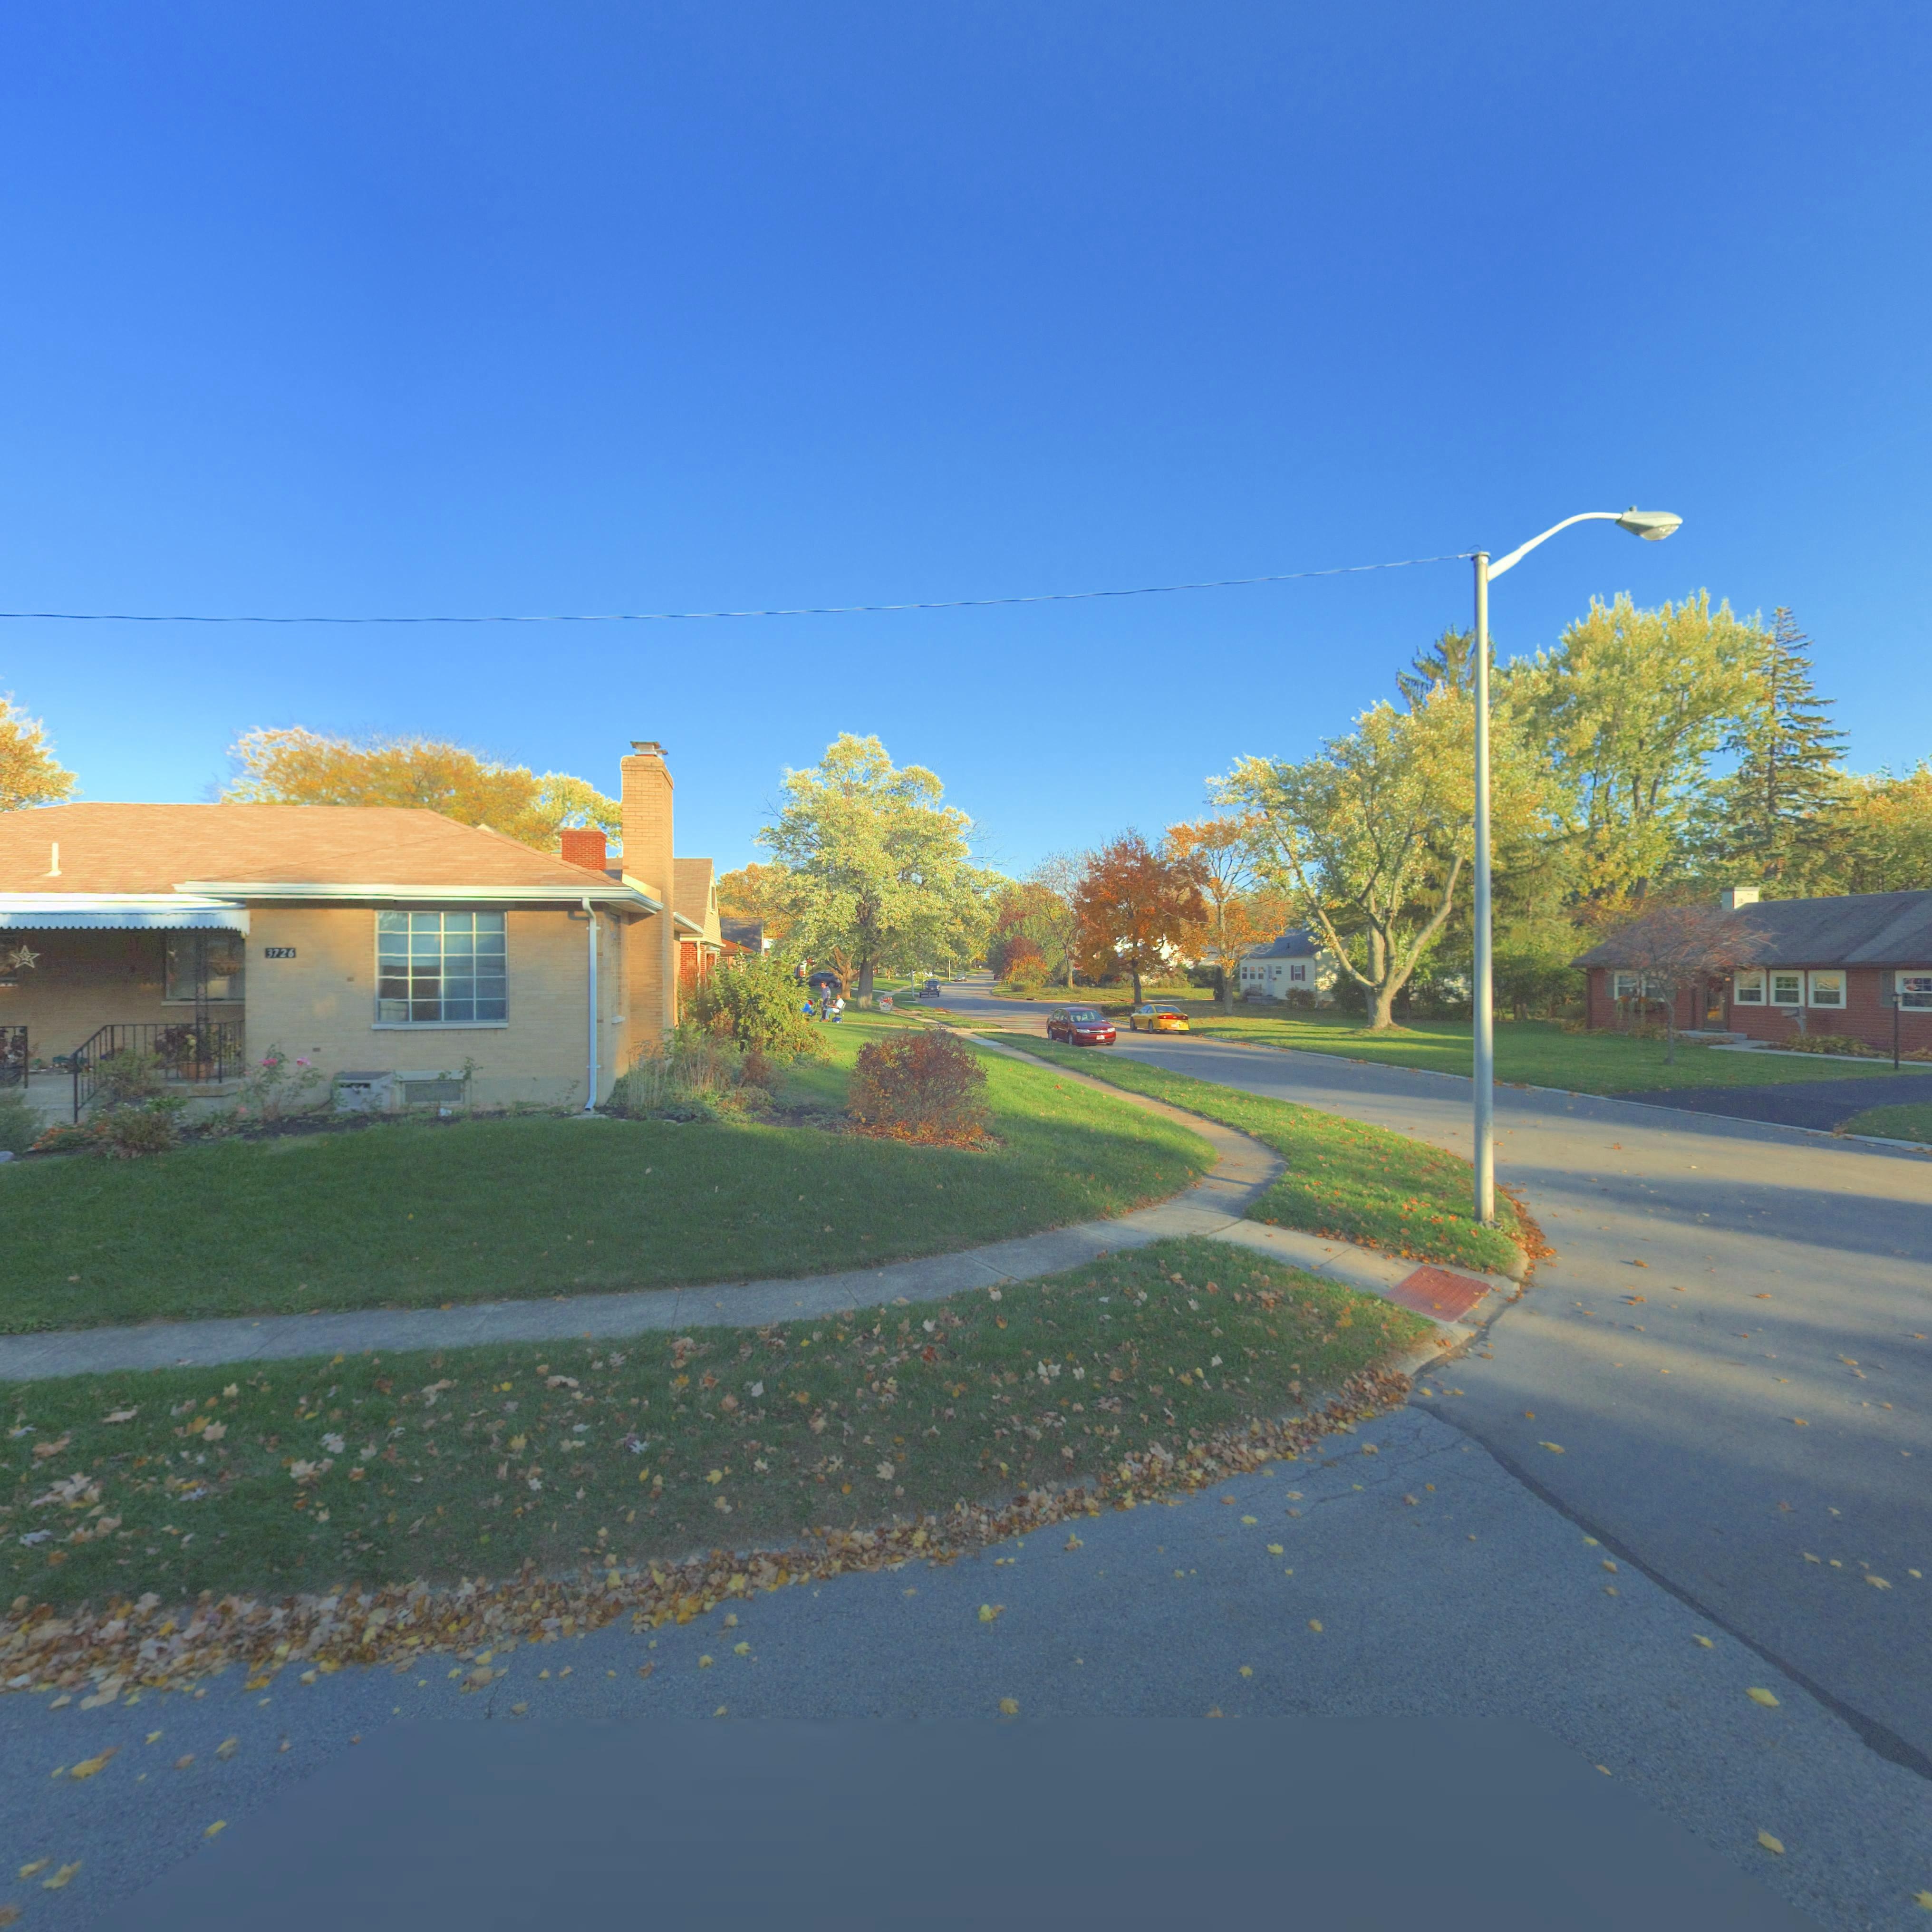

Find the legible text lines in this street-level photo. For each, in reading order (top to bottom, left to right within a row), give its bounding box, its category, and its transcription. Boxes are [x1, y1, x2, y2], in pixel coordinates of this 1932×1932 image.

[266, 948, 294, 958] StreetNumber: 3726